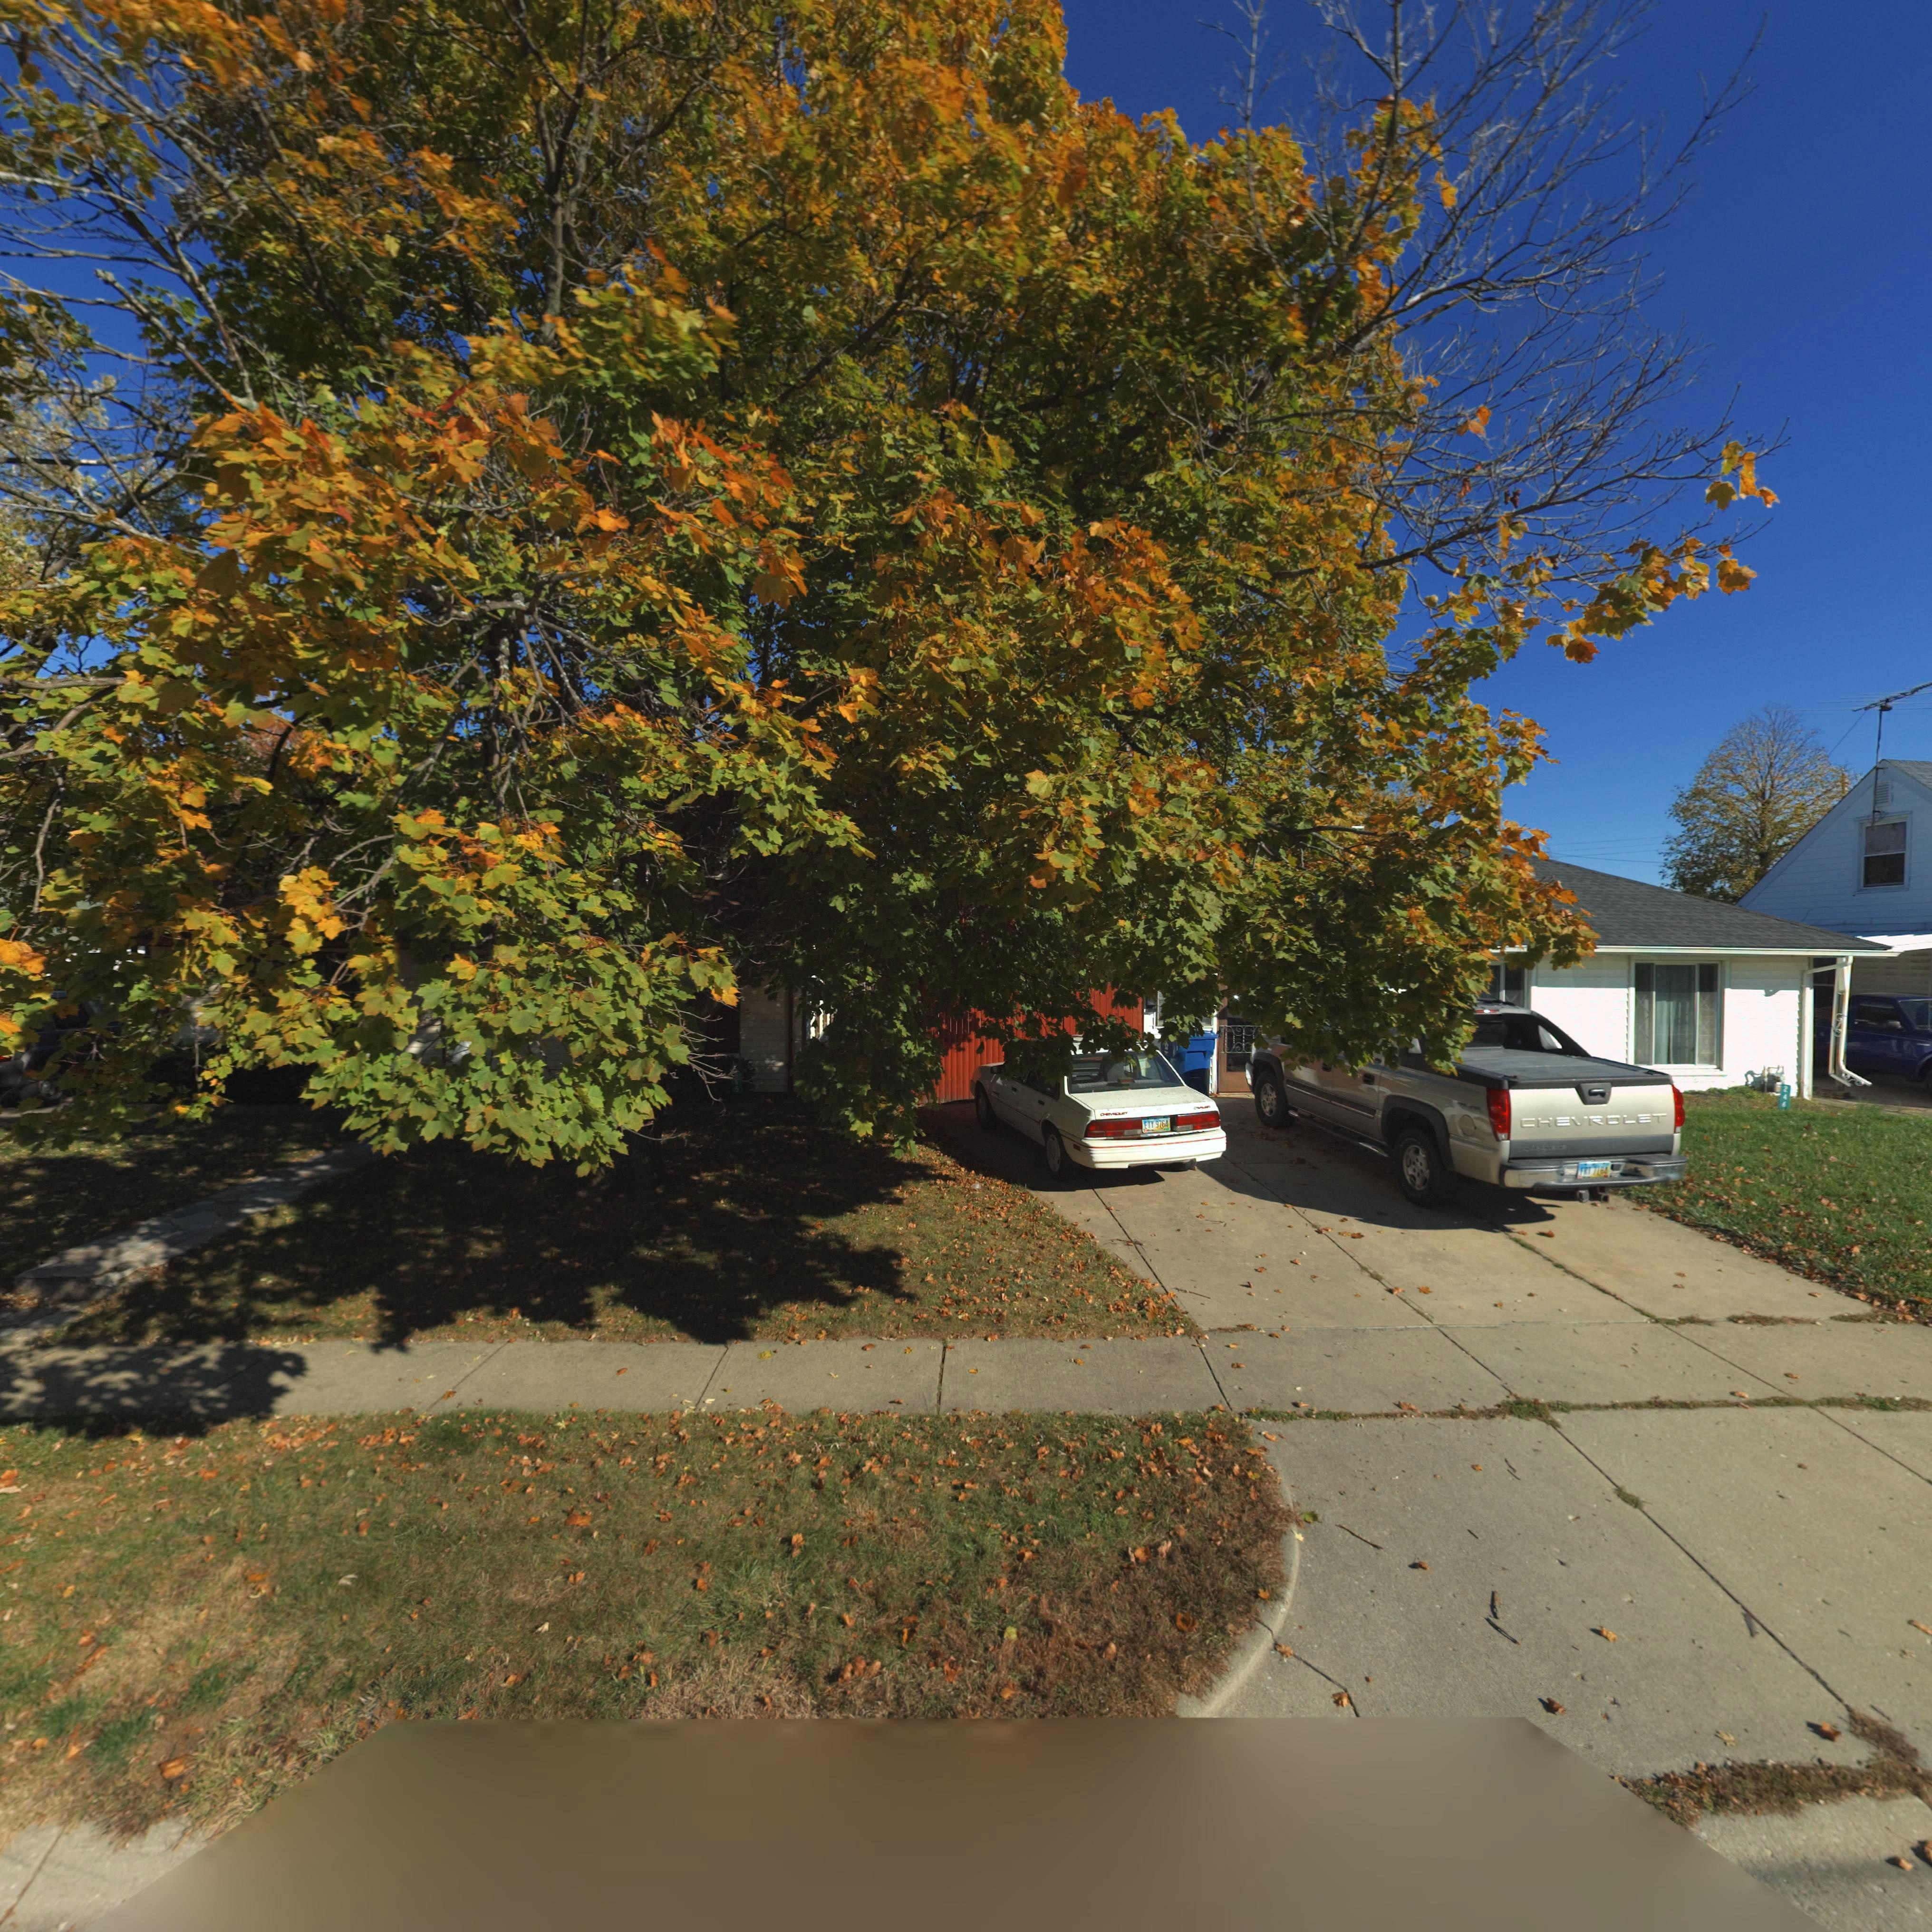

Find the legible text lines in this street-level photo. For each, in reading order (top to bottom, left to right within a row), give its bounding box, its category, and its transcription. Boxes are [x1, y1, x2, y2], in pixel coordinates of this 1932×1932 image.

[1781, 1085, 1789, 1108] StreetNumber: 246